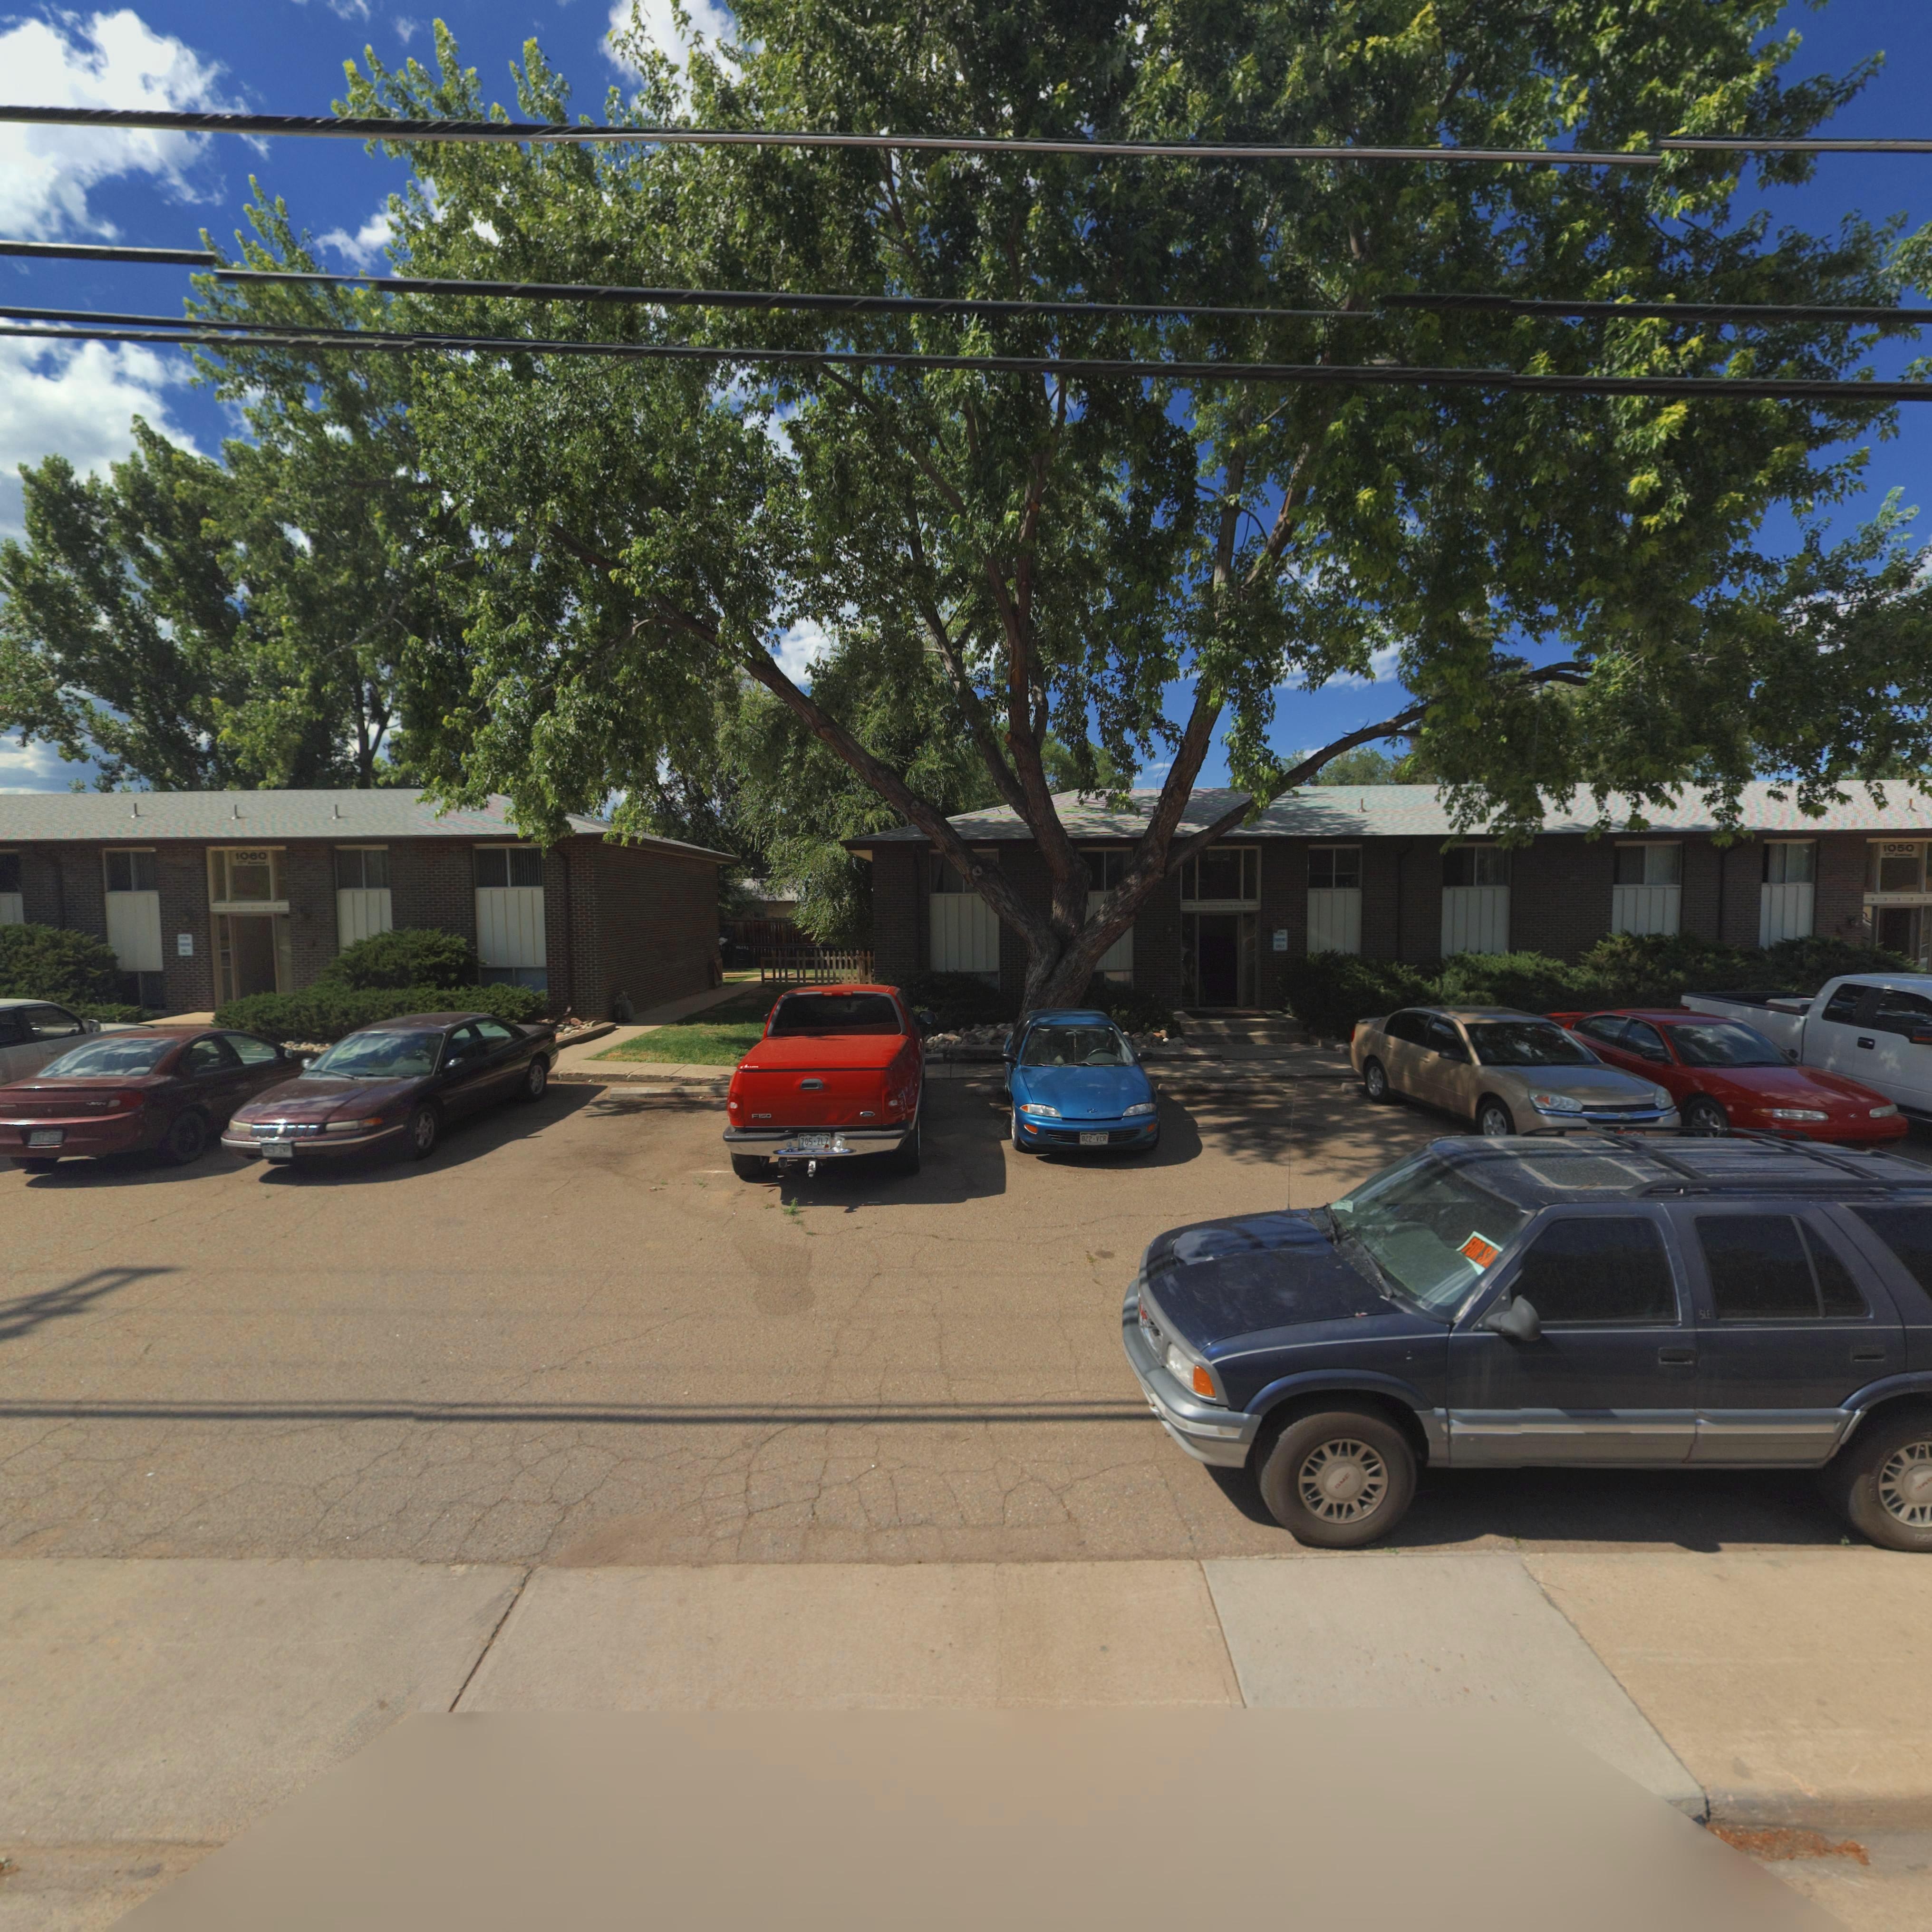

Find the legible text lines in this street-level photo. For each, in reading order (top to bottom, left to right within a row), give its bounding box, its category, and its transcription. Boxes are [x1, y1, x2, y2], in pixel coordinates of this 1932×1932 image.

[1883, 843, 1914, 852] StreetNumber: 1050
[235, 851, 267, 860] StreetNumber: 1060
[1884, 852, 1913, 857] StreetName: 17th Avenue
[237, 860, 266, 865] StreetName: 17th Avenue